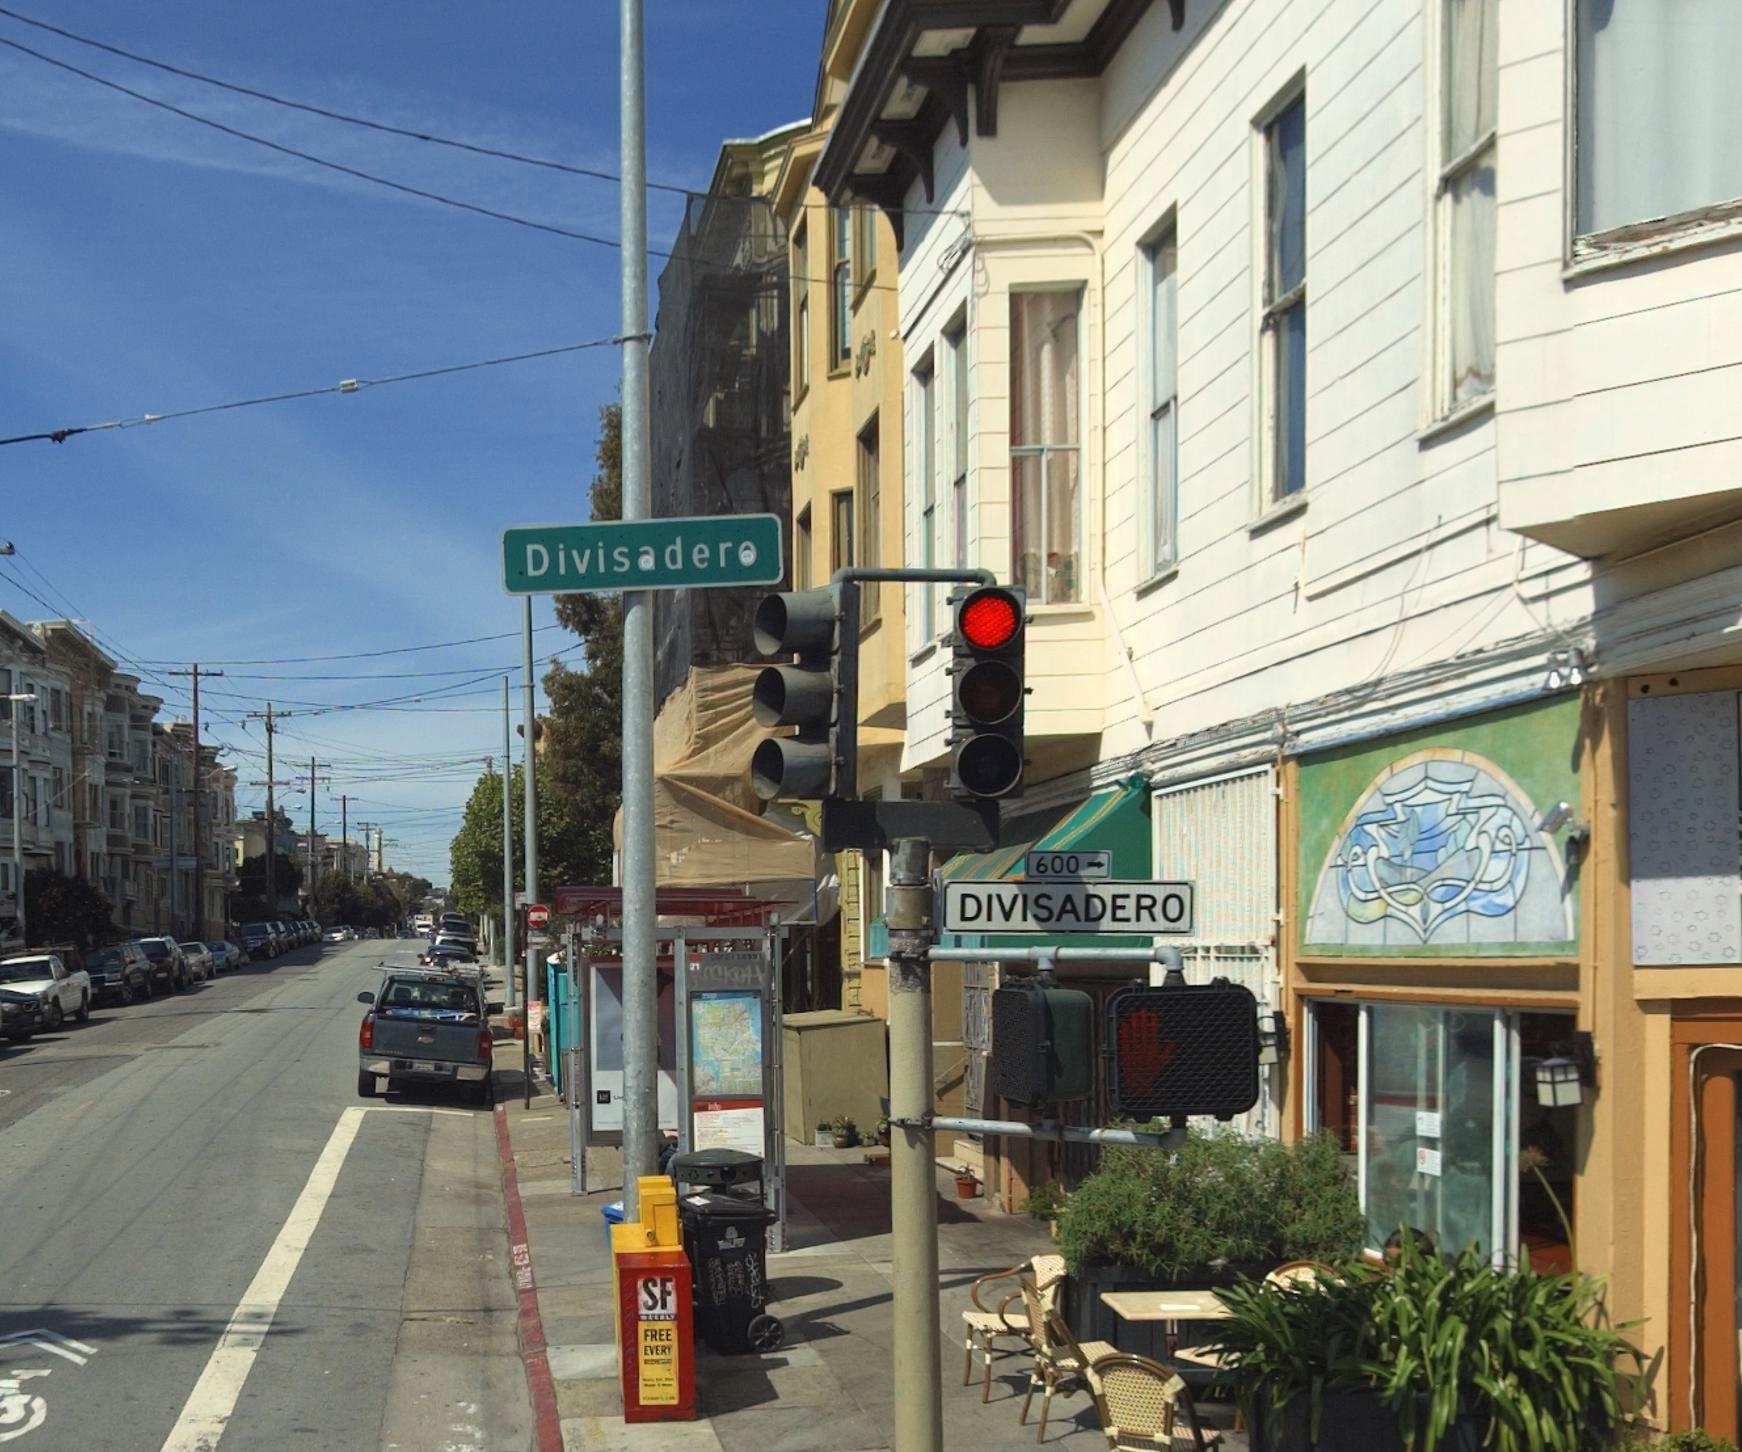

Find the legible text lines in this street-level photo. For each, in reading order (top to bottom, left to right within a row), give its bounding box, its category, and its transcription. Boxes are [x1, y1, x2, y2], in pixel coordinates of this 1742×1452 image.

[522, 532, 762, 581] StreetName: Divisadero
[1031, 849, 1108, 880] StreetNumberRange: 600->
[958, 889, 1188, 926] StreetName: DIVISADERO
[639, 1274, 677, 1311] None: SF
[638, 1312, 677, 1322] None: WEEKLY
[642, 1327, 674, 1342] None: FREE
[642, 1343, 673, 1358] None: EVERY